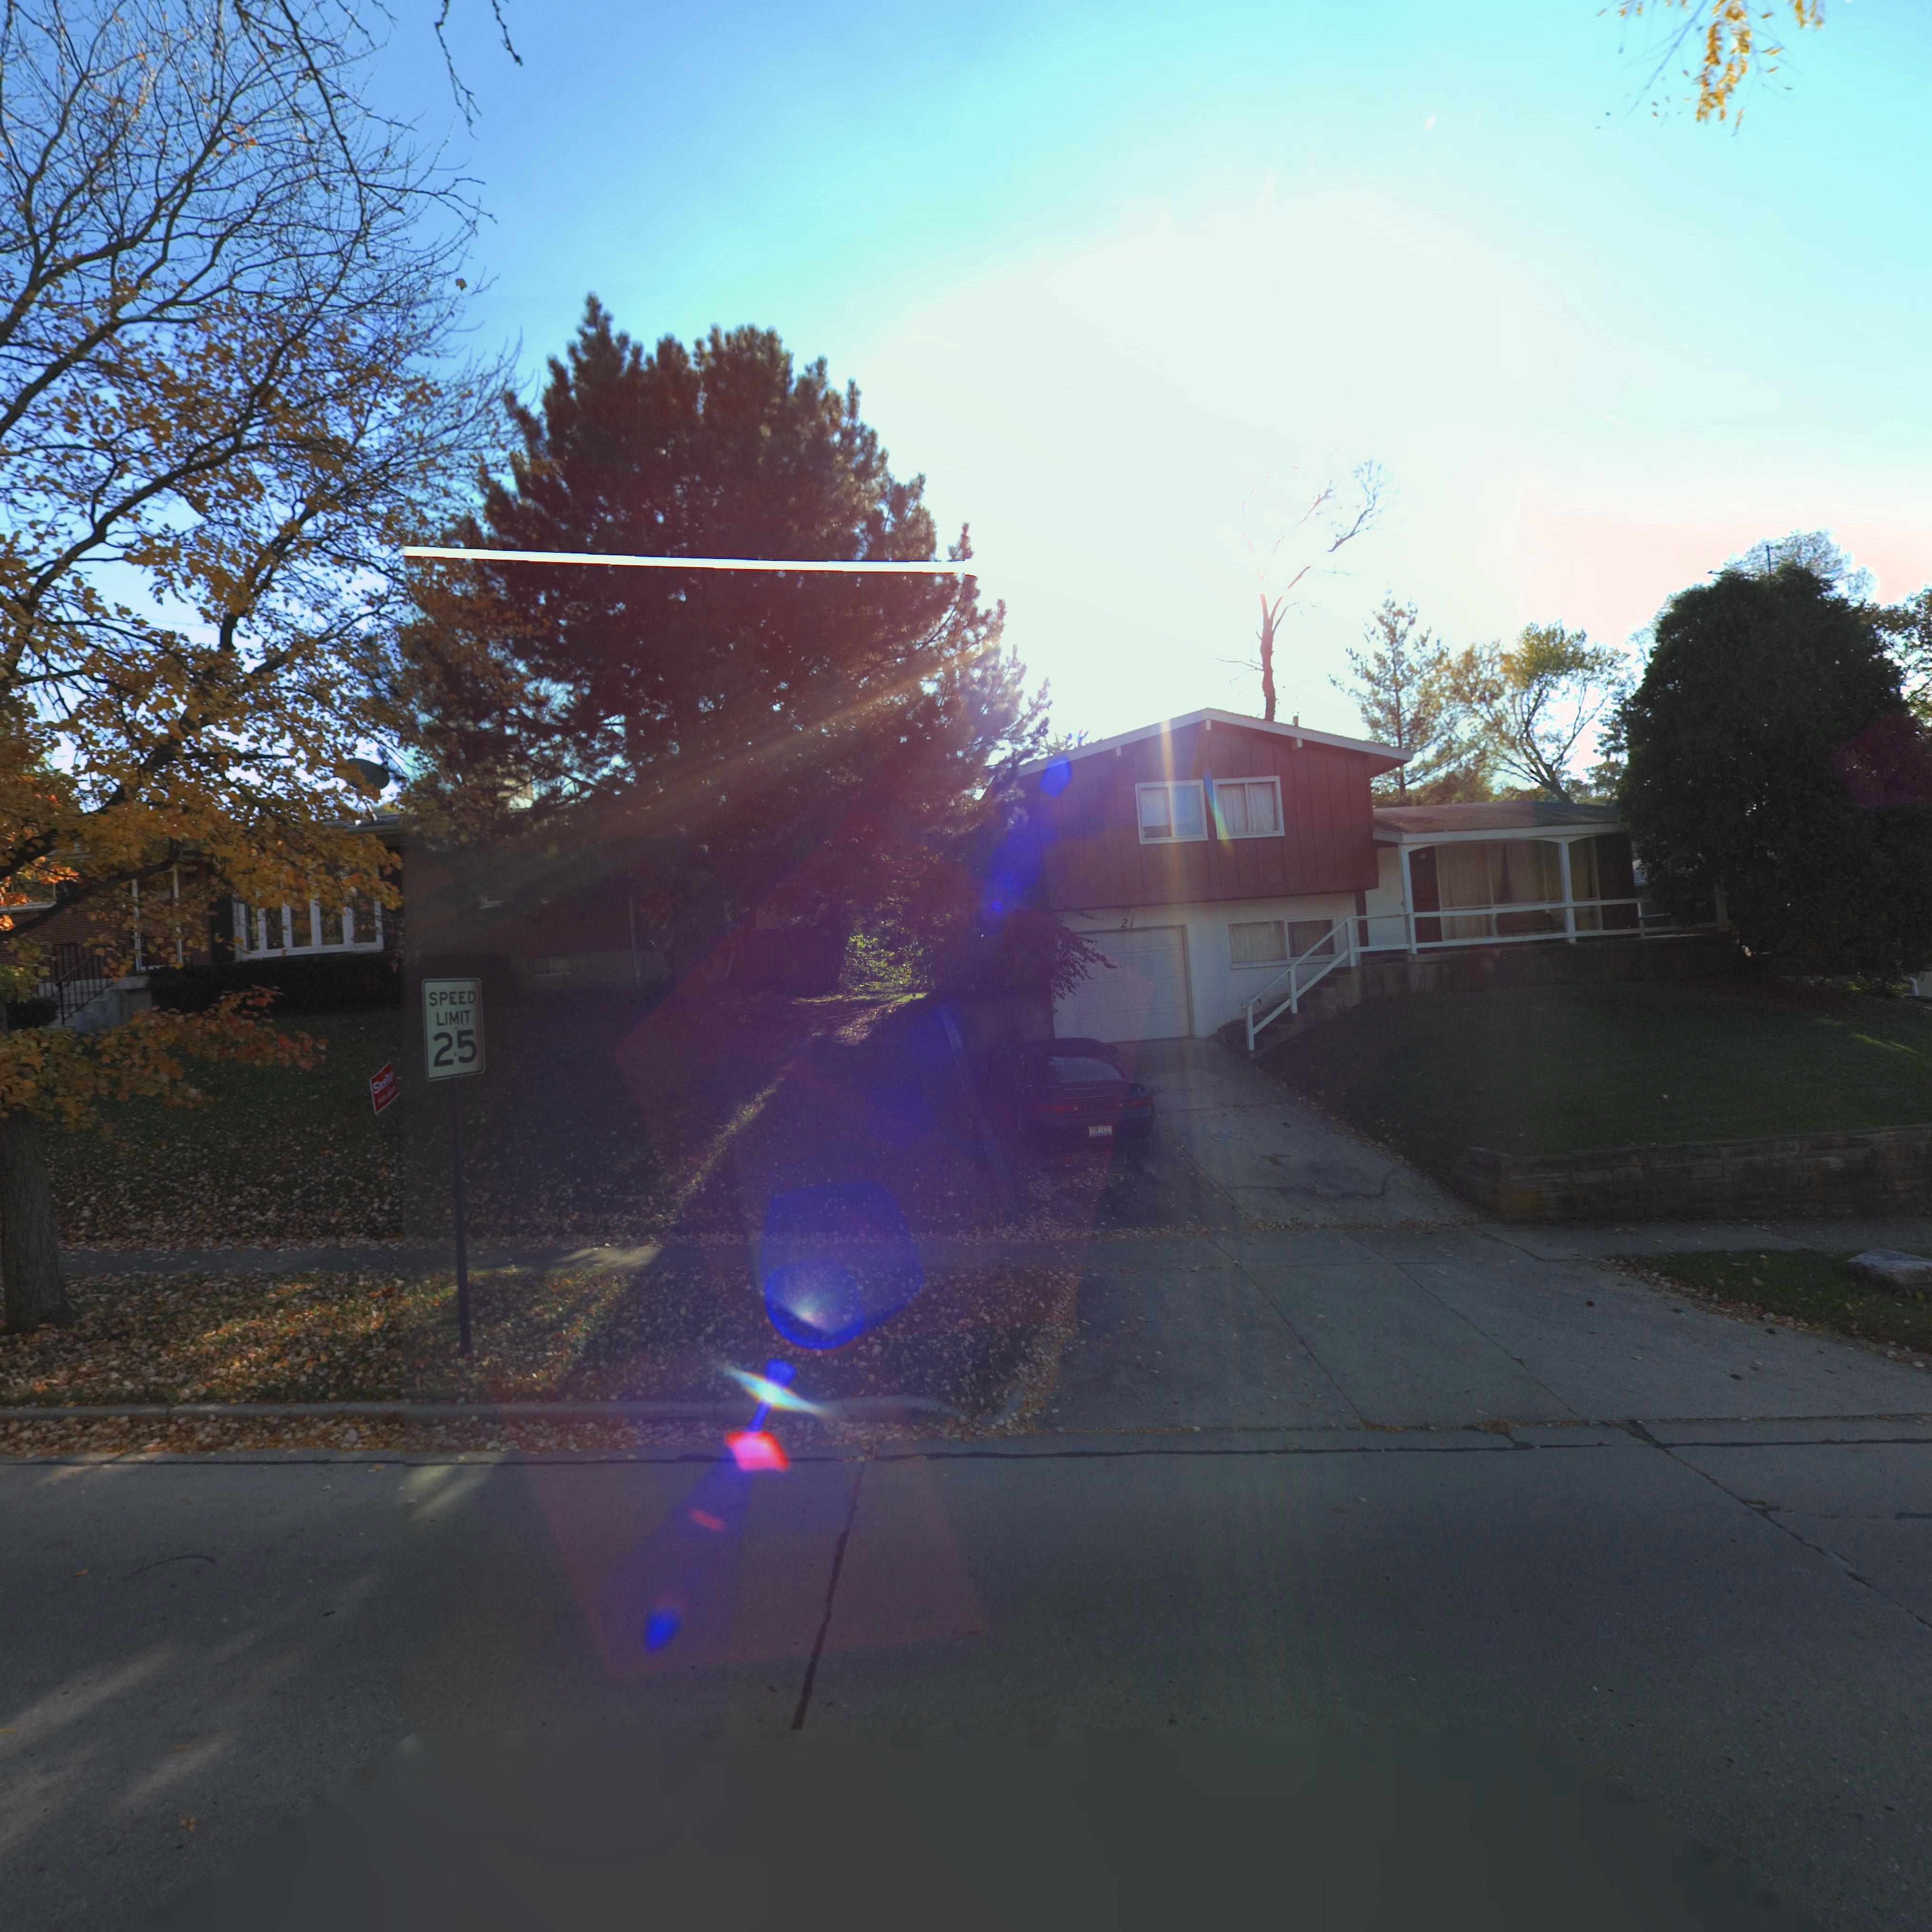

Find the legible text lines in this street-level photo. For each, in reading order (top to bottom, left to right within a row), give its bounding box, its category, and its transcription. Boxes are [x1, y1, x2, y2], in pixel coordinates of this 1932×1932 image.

[1120, 917, 1134, 929] StreetNumber: 21